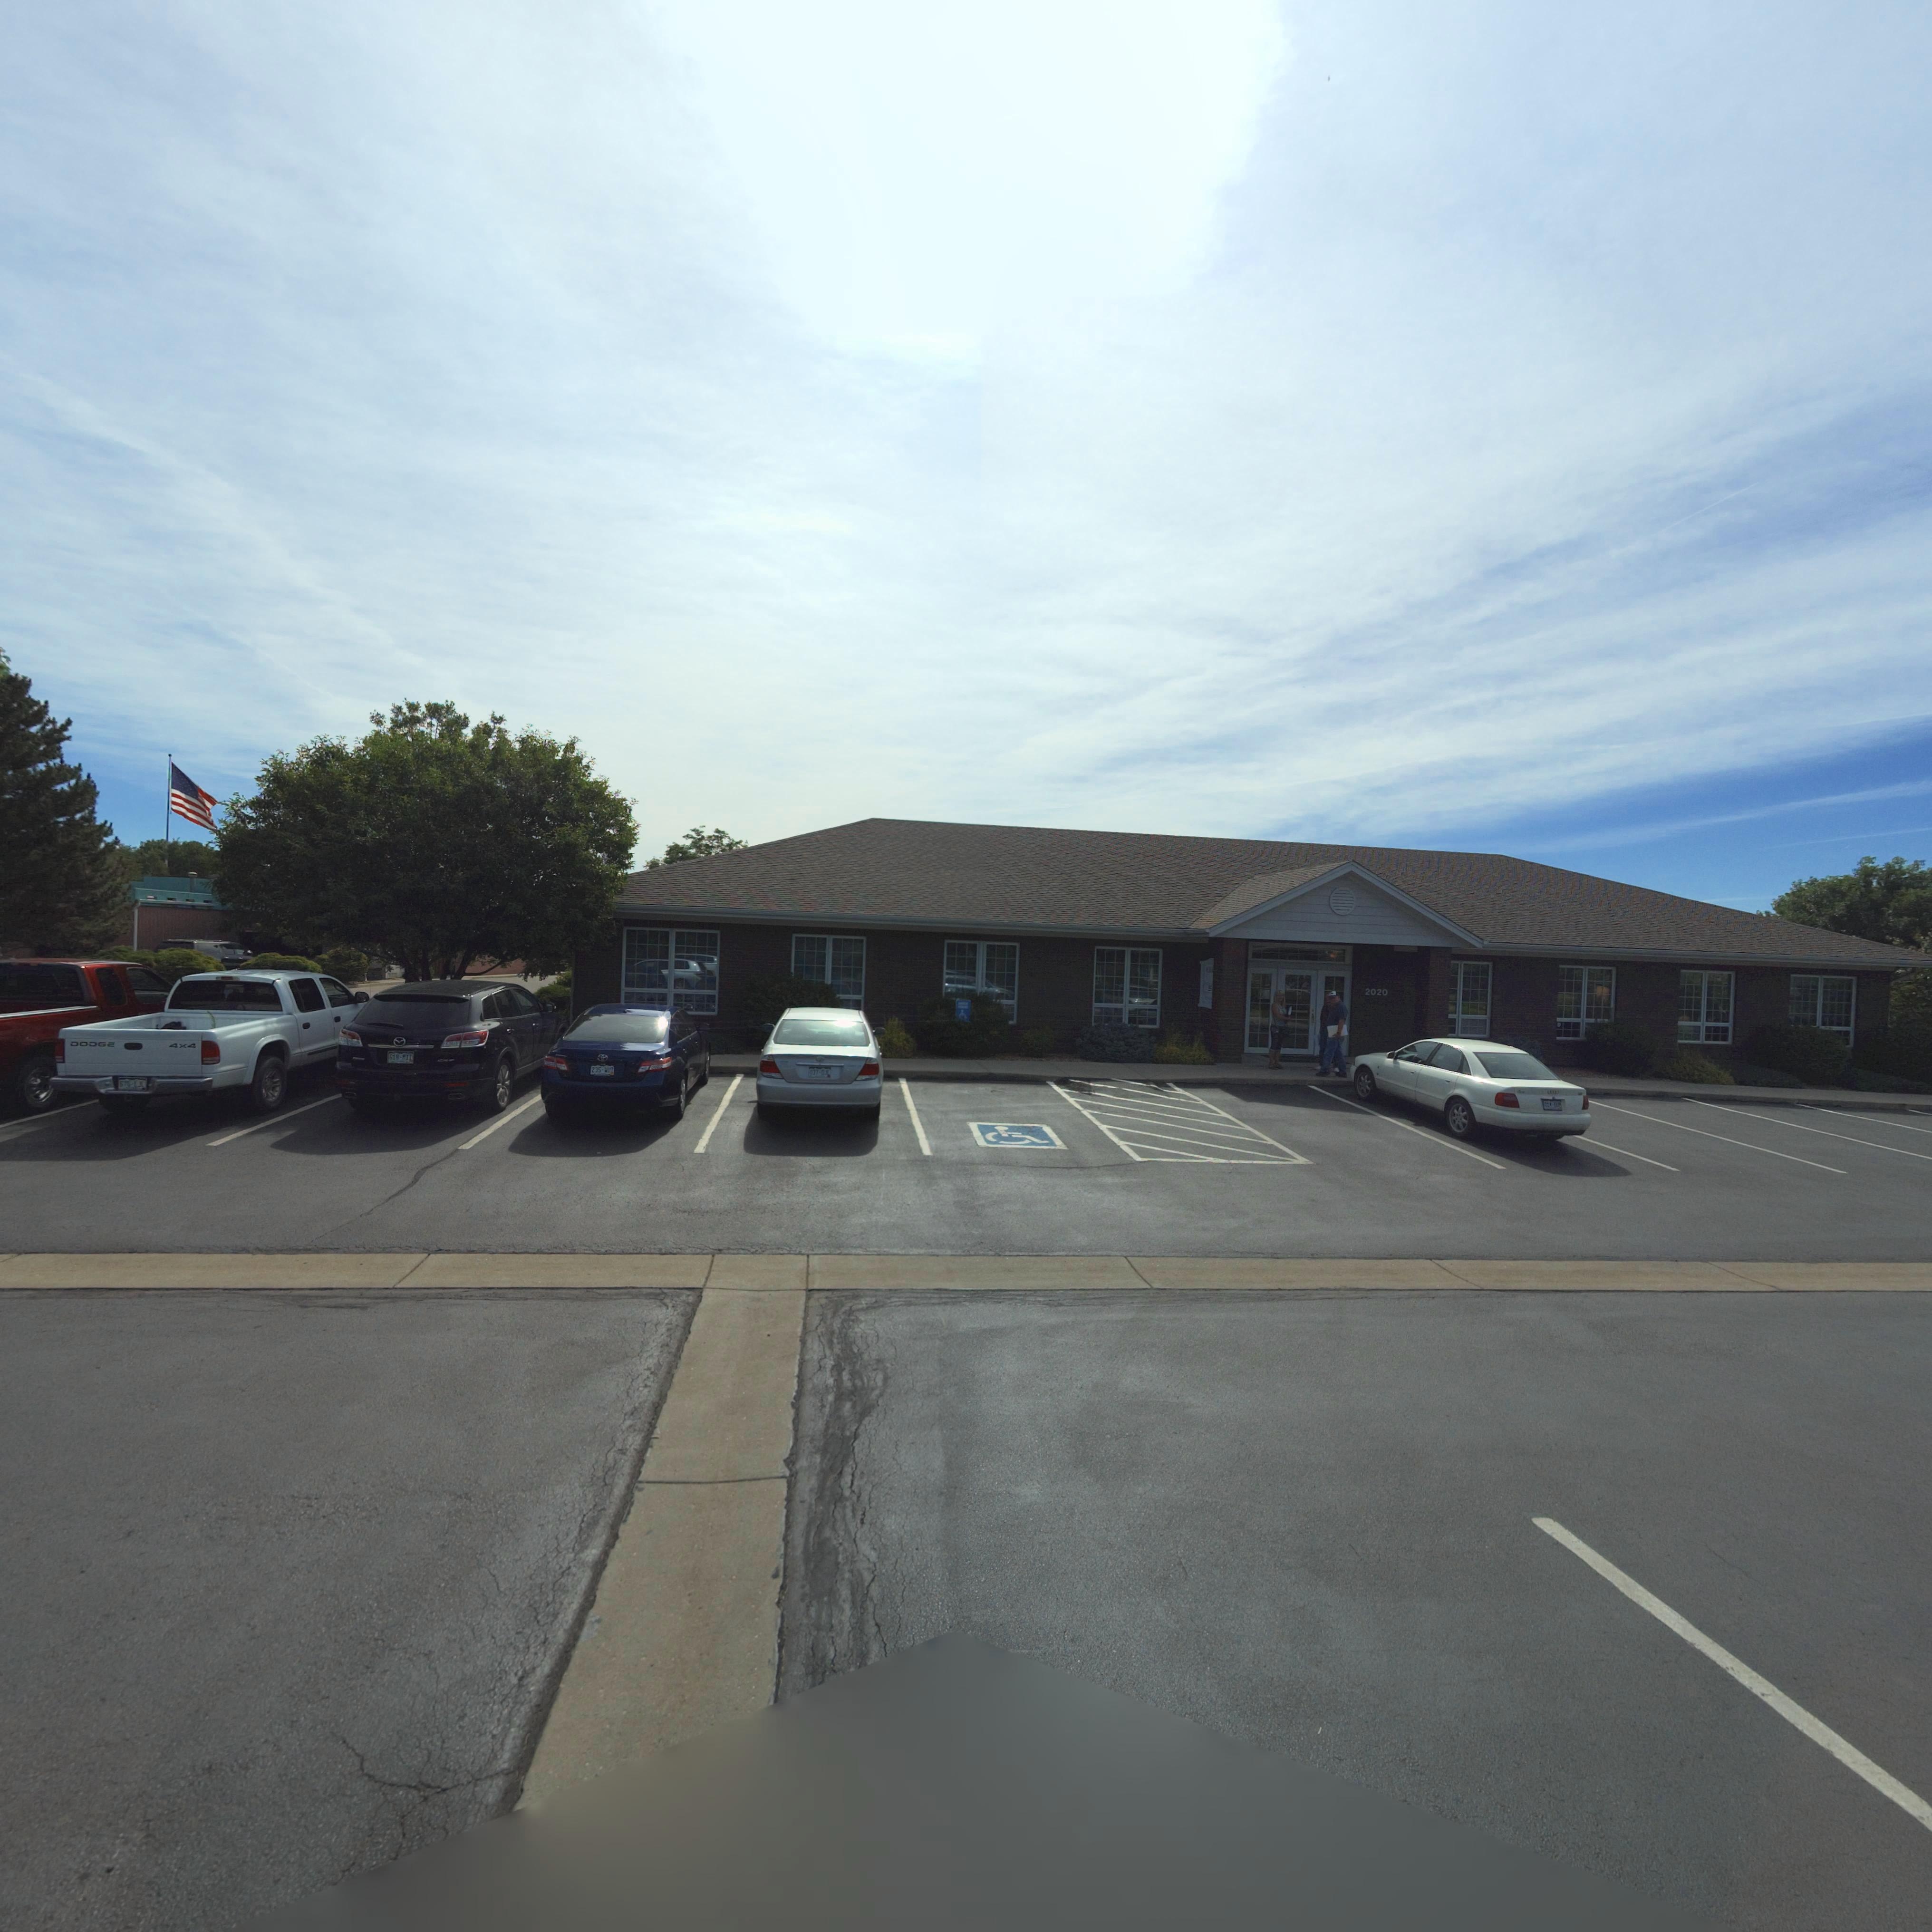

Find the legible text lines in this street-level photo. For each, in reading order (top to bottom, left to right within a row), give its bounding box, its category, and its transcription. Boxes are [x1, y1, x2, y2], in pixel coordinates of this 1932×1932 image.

[1364, 988, 1388, 996] StreetNumber: 2020